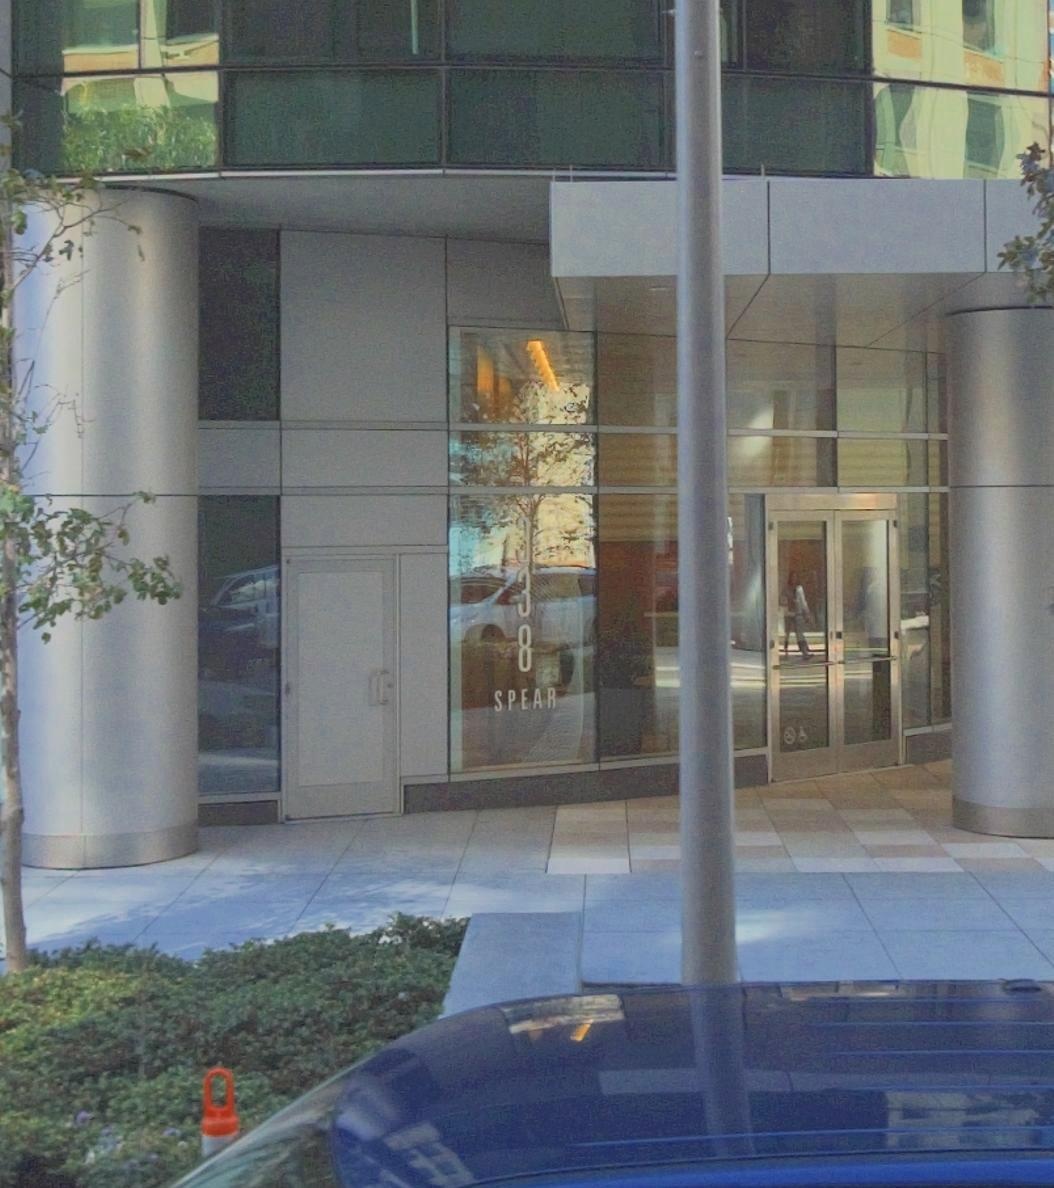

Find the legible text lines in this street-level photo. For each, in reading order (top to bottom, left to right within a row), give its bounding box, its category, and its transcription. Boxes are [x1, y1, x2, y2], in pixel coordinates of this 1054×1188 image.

[512, 513, 537, 677] StreetNumber: 338
[489, 682, 560, 717] StreetName: SPEAR